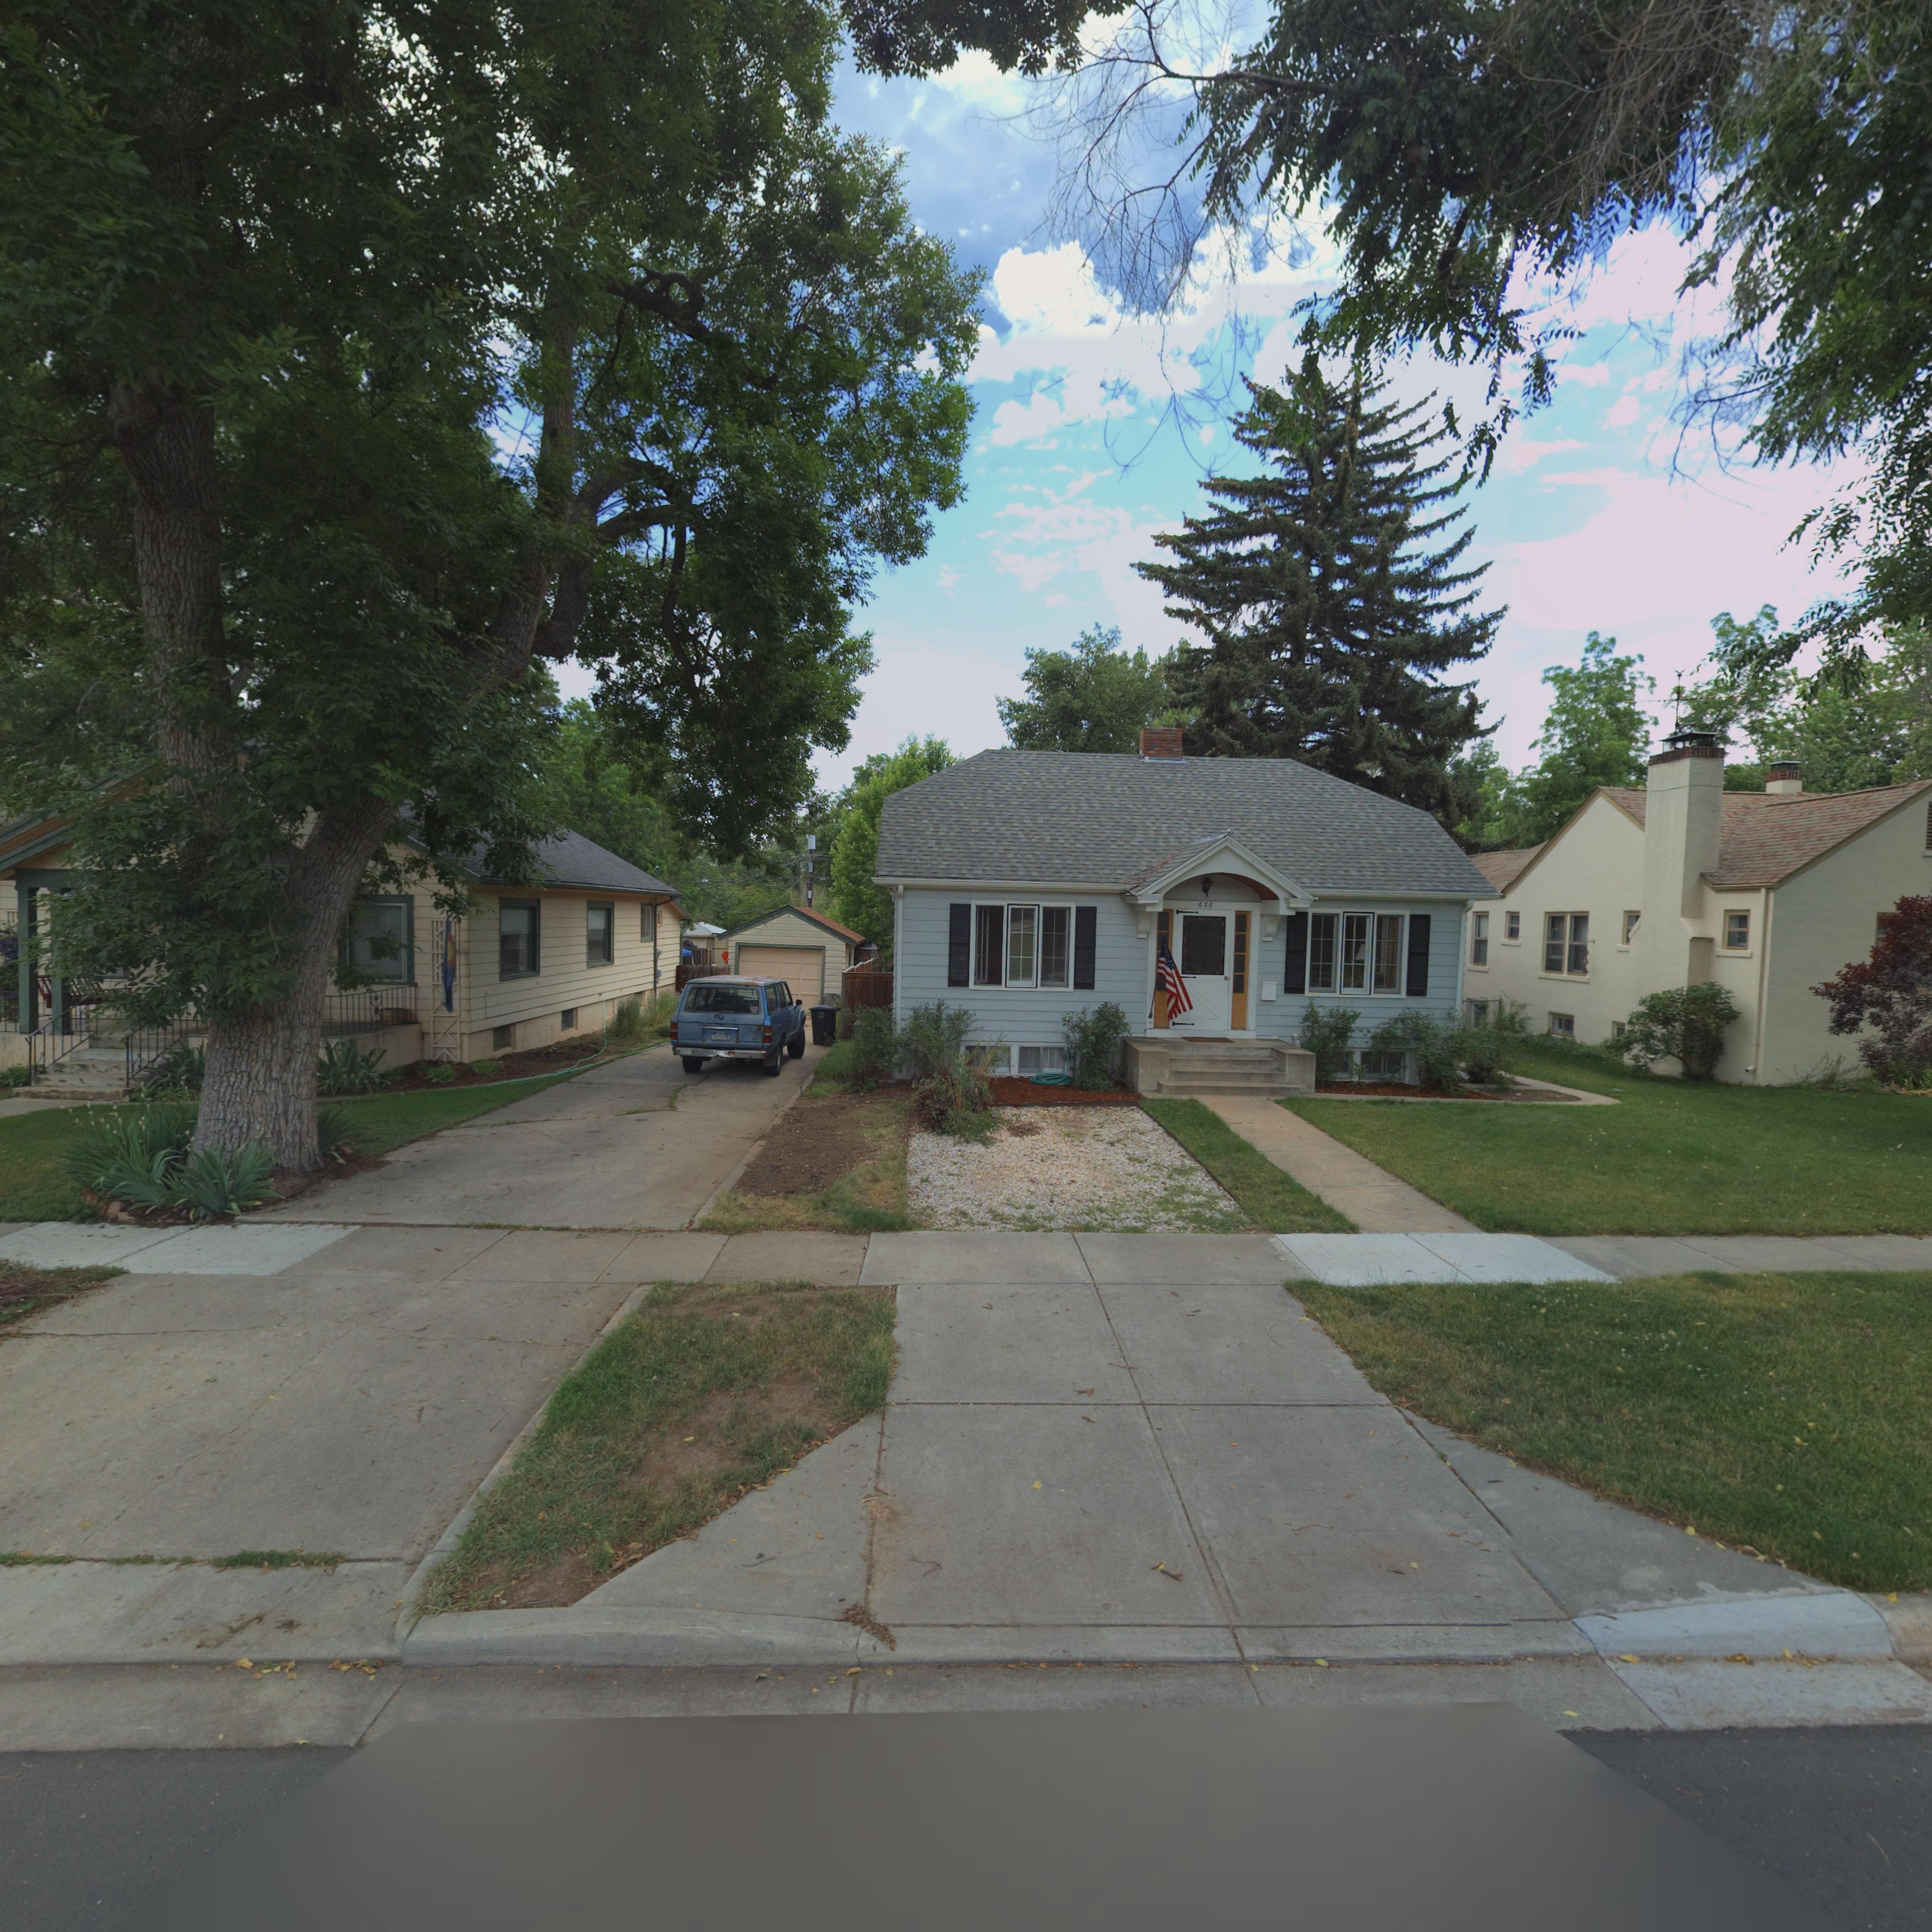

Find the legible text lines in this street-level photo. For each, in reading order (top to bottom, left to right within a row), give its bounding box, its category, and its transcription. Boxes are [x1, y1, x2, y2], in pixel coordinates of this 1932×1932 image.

[1198, 901, 1213, 908] StreetNumber: 636